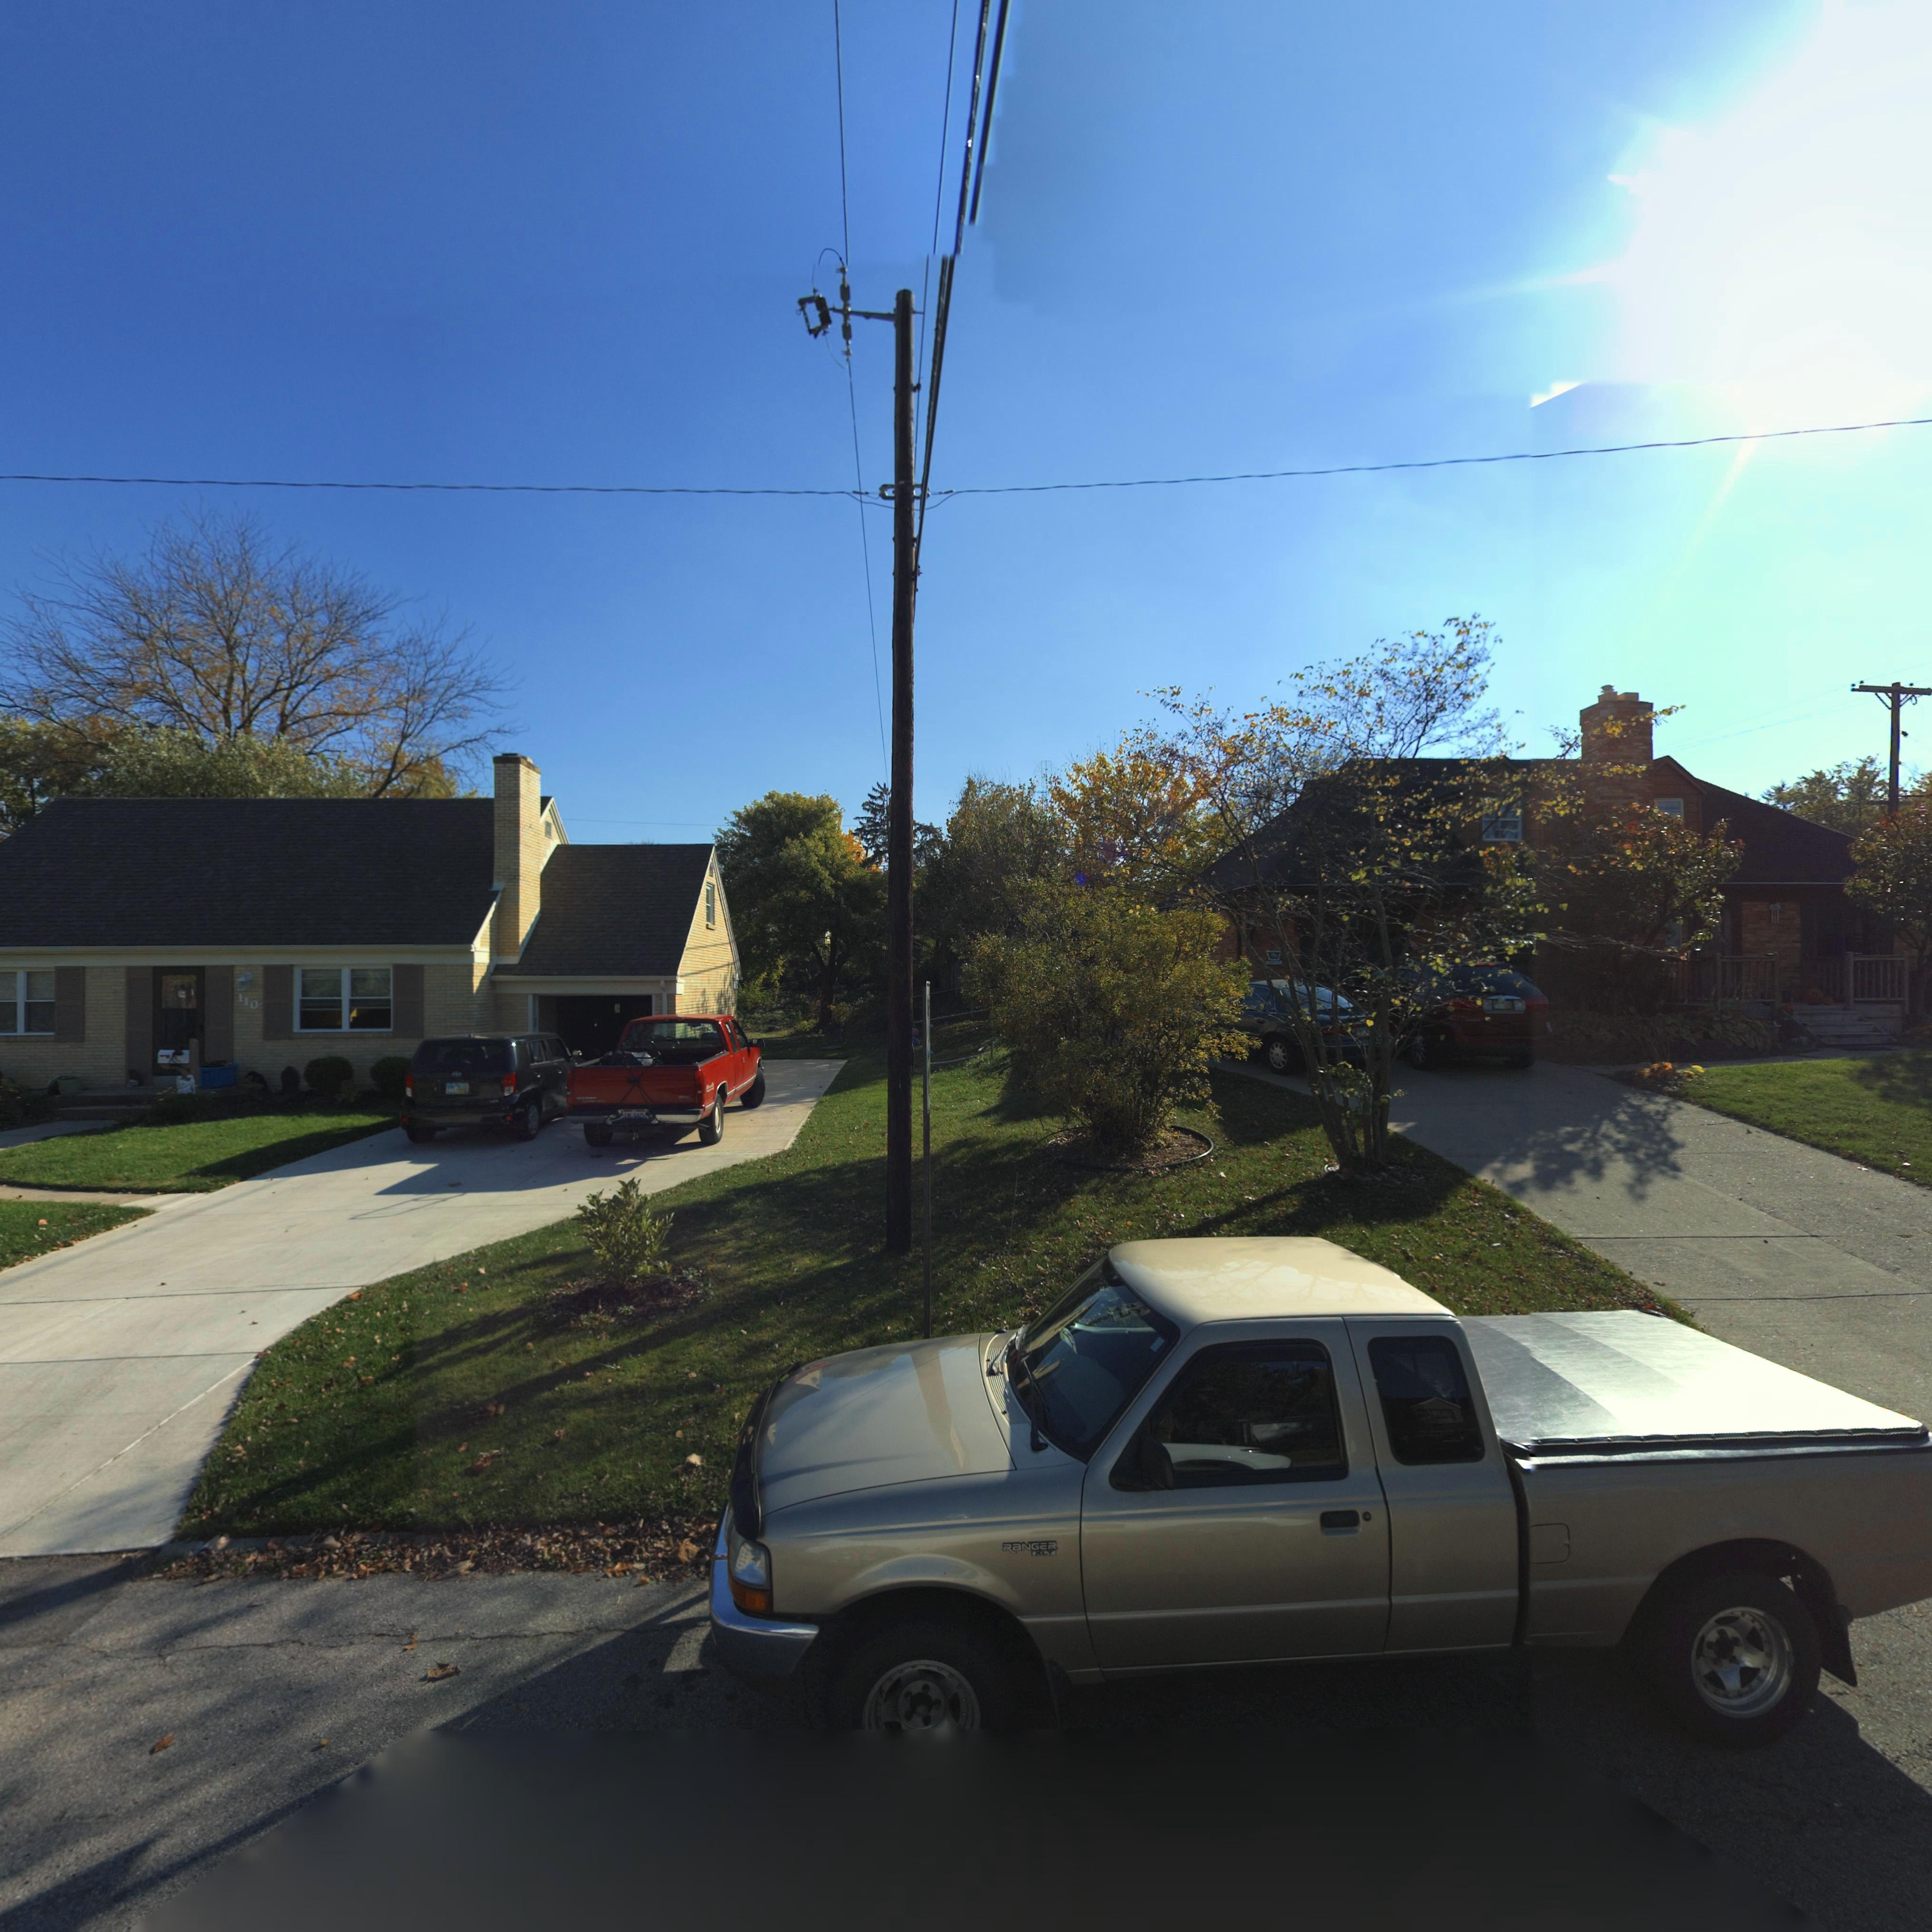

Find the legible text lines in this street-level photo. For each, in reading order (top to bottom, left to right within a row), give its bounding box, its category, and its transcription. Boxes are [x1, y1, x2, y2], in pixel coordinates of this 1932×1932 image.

[237, 991, 259, 1011] StreetNumber: 110